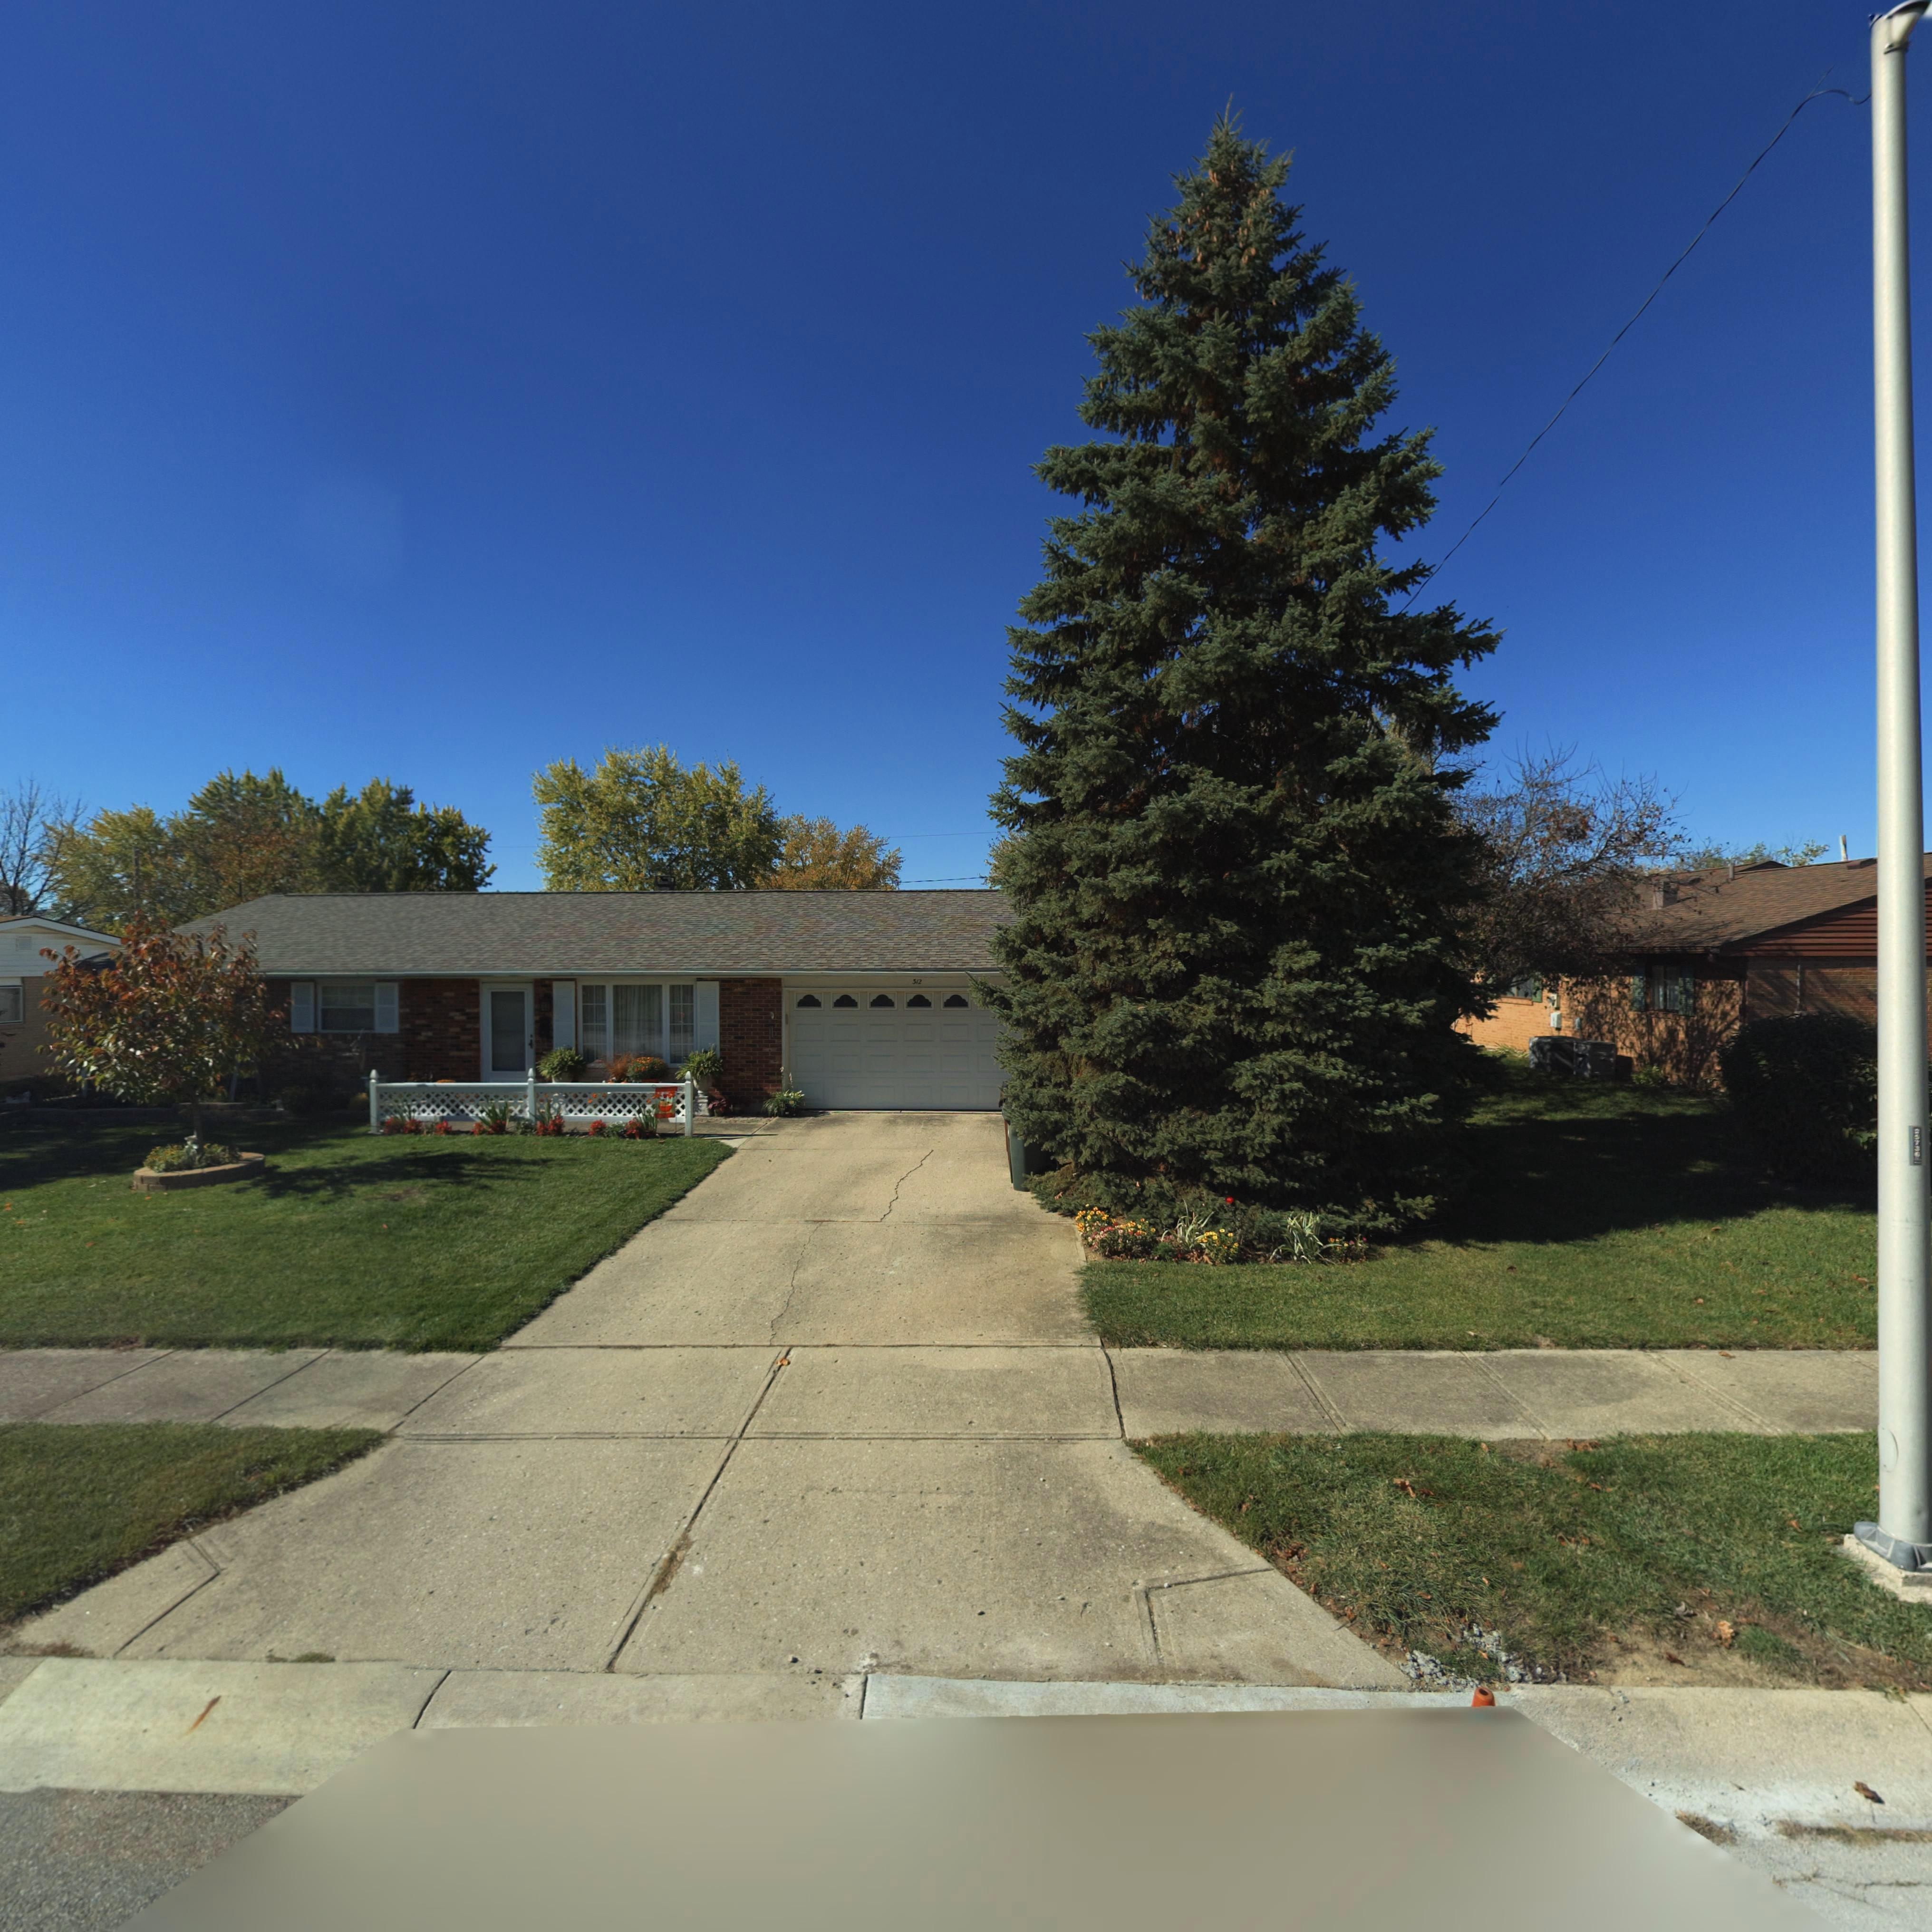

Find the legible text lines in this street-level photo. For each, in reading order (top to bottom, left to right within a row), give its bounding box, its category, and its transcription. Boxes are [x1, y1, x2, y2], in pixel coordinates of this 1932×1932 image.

[911, 979, 922, 985] StreetNumber: 312